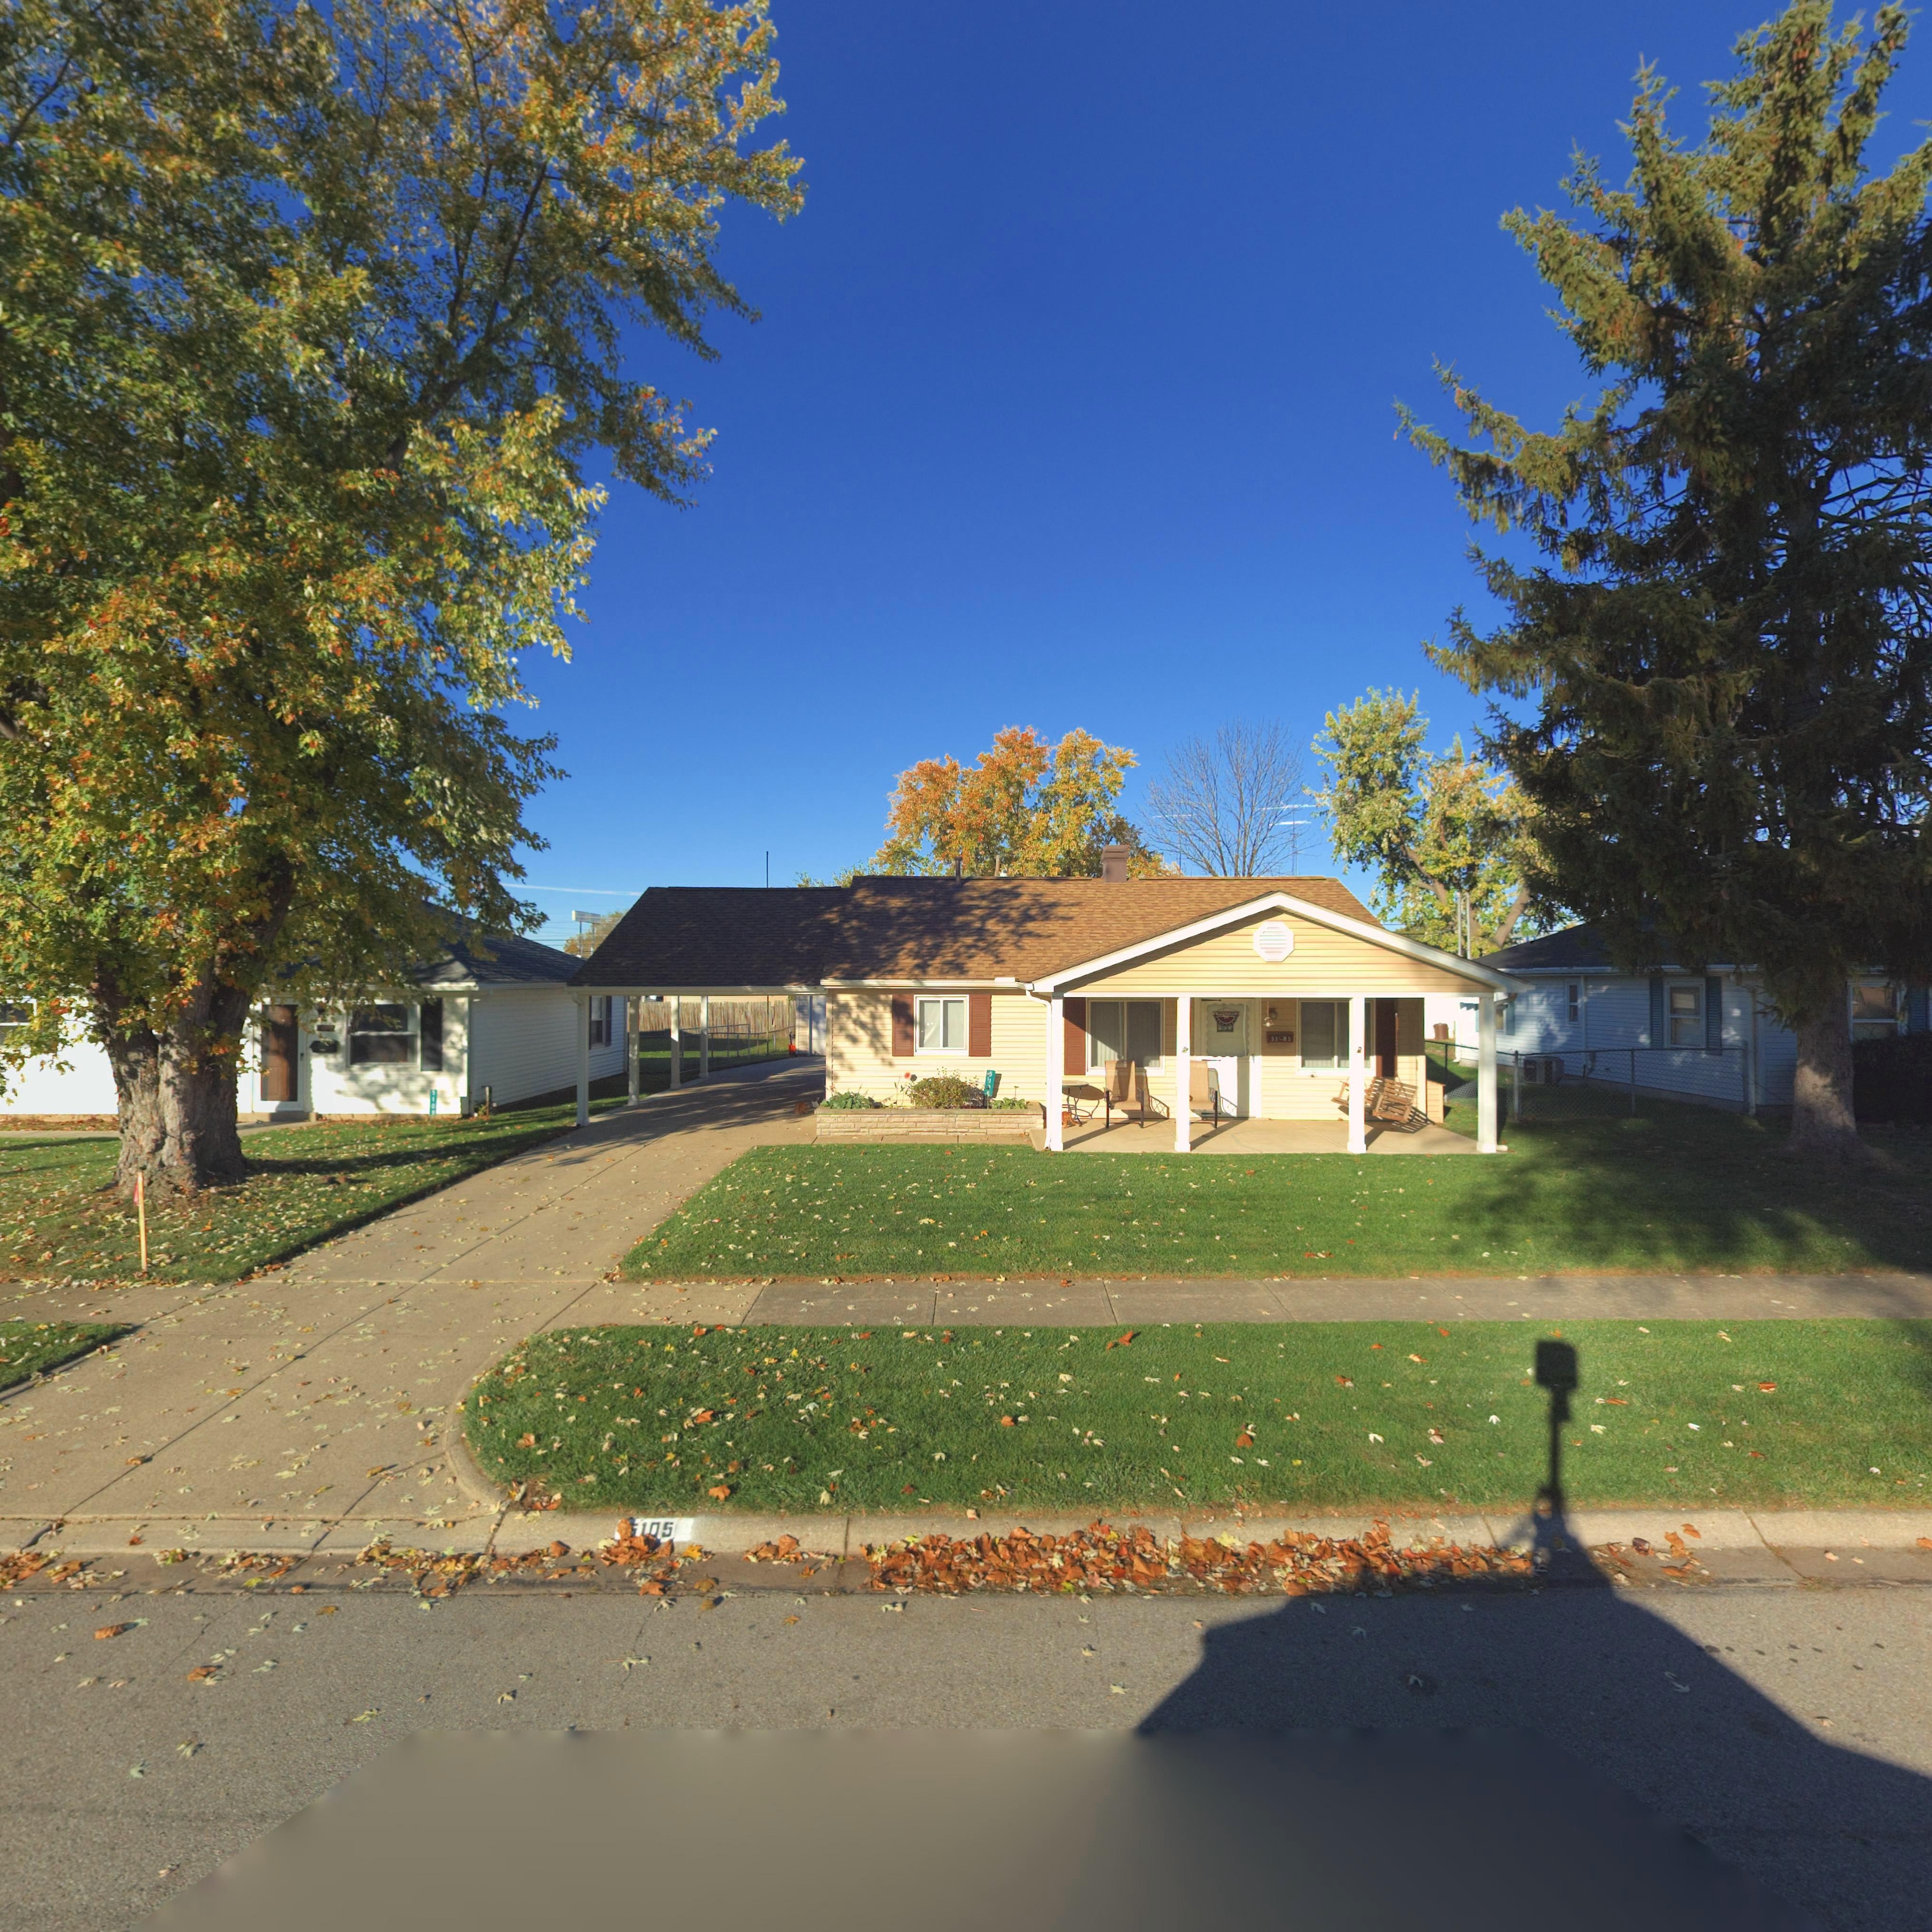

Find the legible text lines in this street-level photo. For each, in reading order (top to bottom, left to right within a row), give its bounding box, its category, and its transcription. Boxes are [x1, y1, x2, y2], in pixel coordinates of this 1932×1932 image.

[1271, 1036, 1292, 1042] StreetNumber: 51*05
[985, 1071, 993, 1097] StreetNumber: *1**
[431, 1089, 436, 1116] StreetNumber: 5109
[638, 1521, 675, 1538] StreetNumber: 105